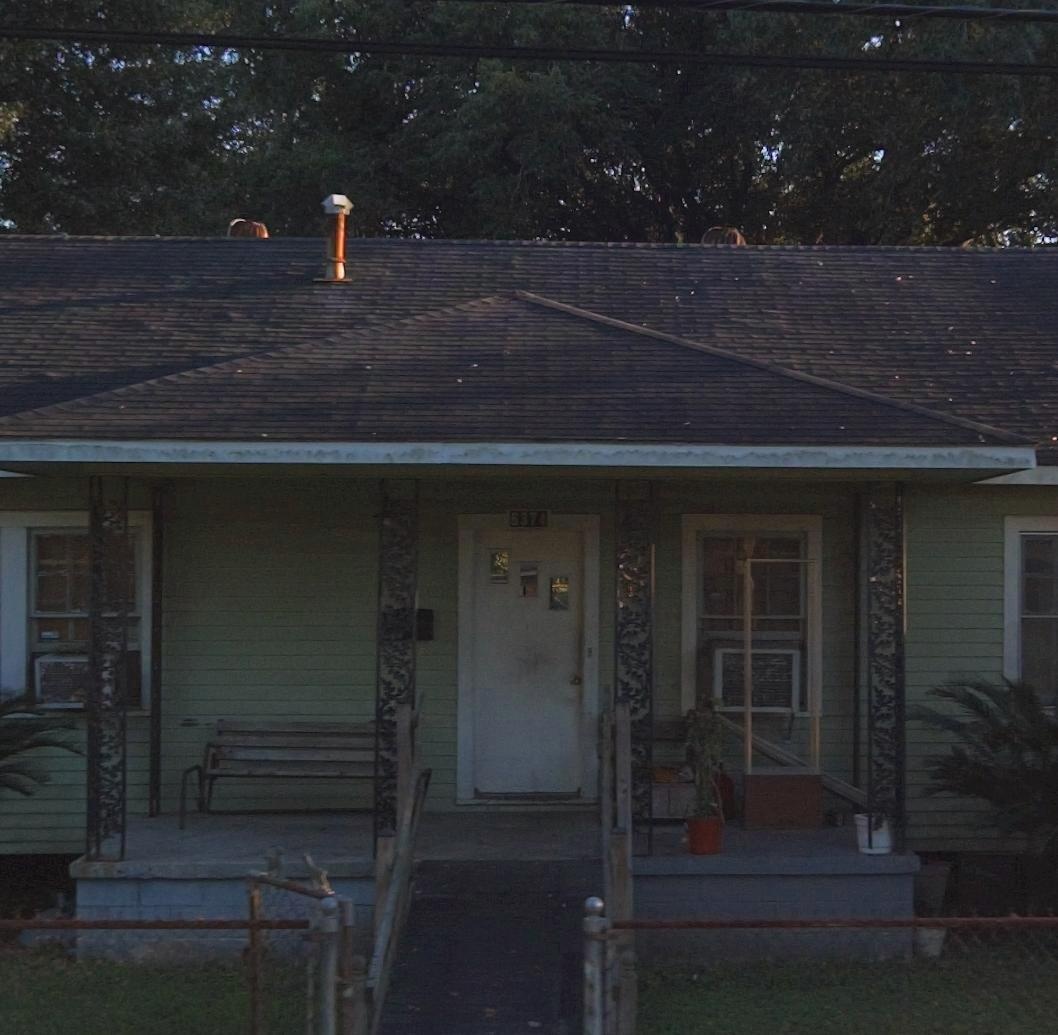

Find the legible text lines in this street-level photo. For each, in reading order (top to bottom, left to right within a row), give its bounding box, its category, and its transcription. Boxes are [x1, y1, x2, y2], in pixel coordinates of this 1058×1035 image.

[509, 510, 546, 528] StreetNumber: 6374